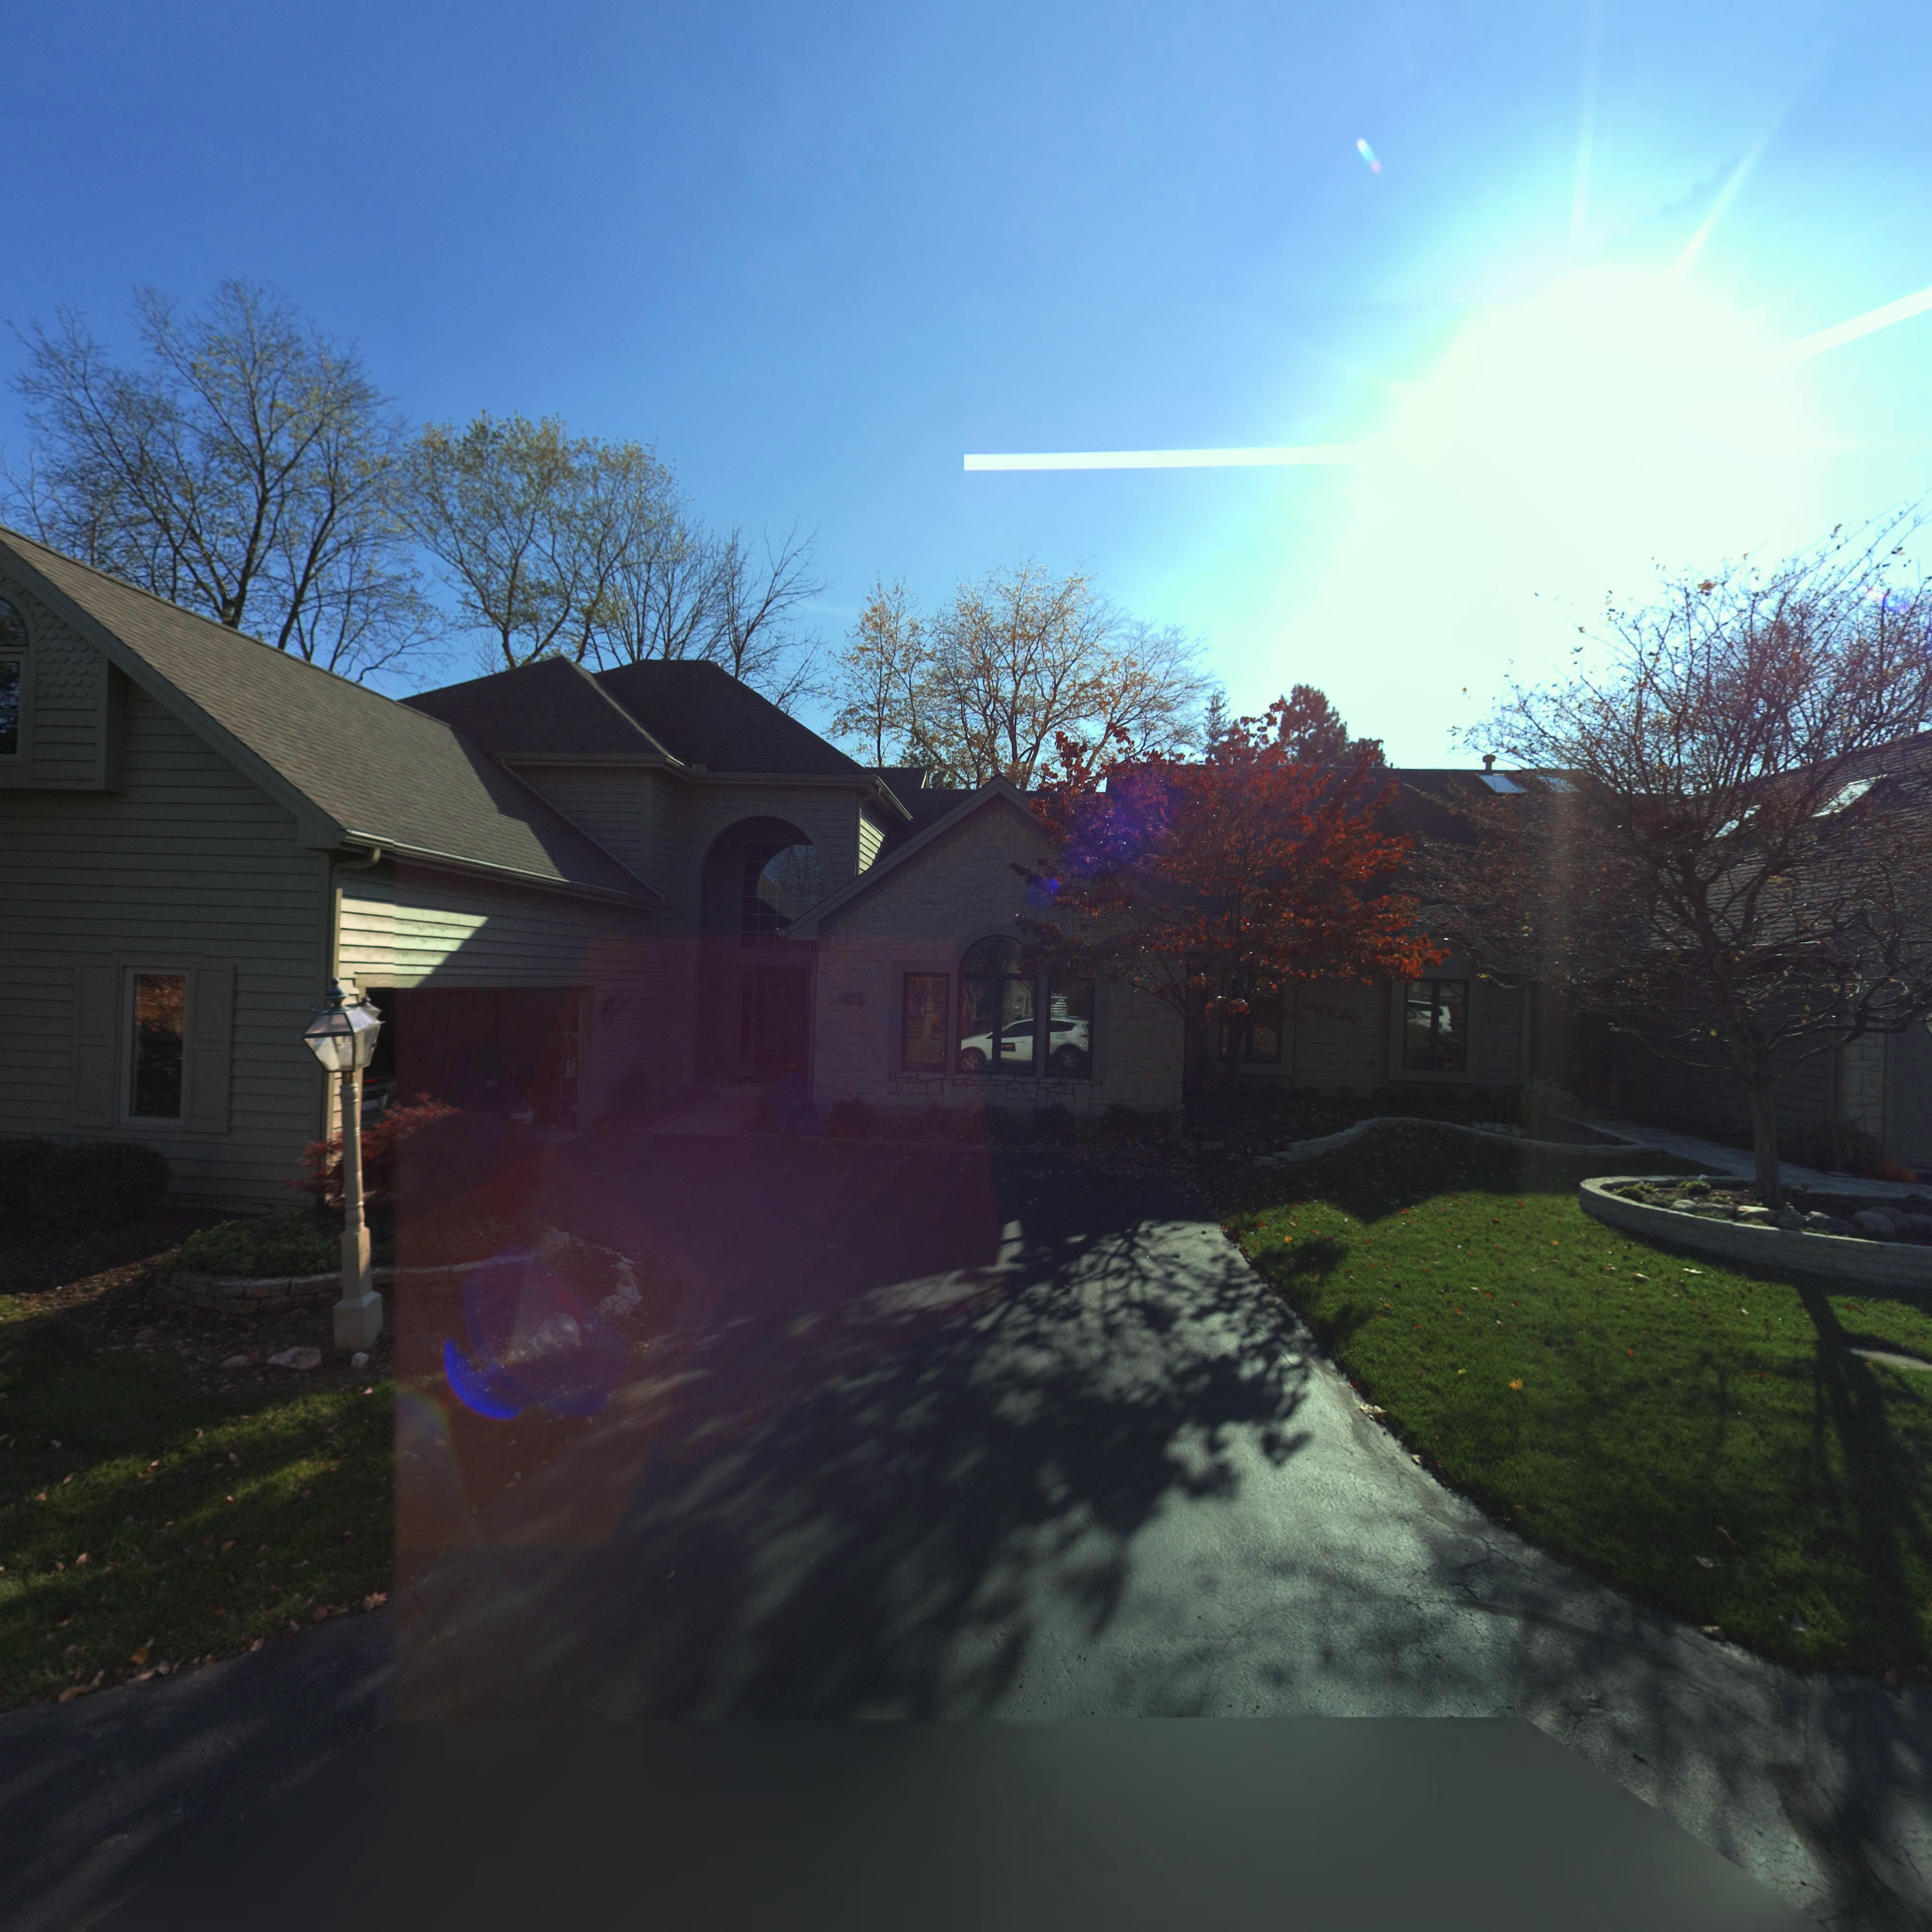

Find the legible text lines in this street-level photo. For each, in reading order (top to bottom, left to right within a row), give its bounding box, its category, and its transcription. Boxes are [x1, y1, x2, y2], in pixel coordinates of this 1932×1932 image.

[844, 994, 865, 1004] StreetNumber: 825